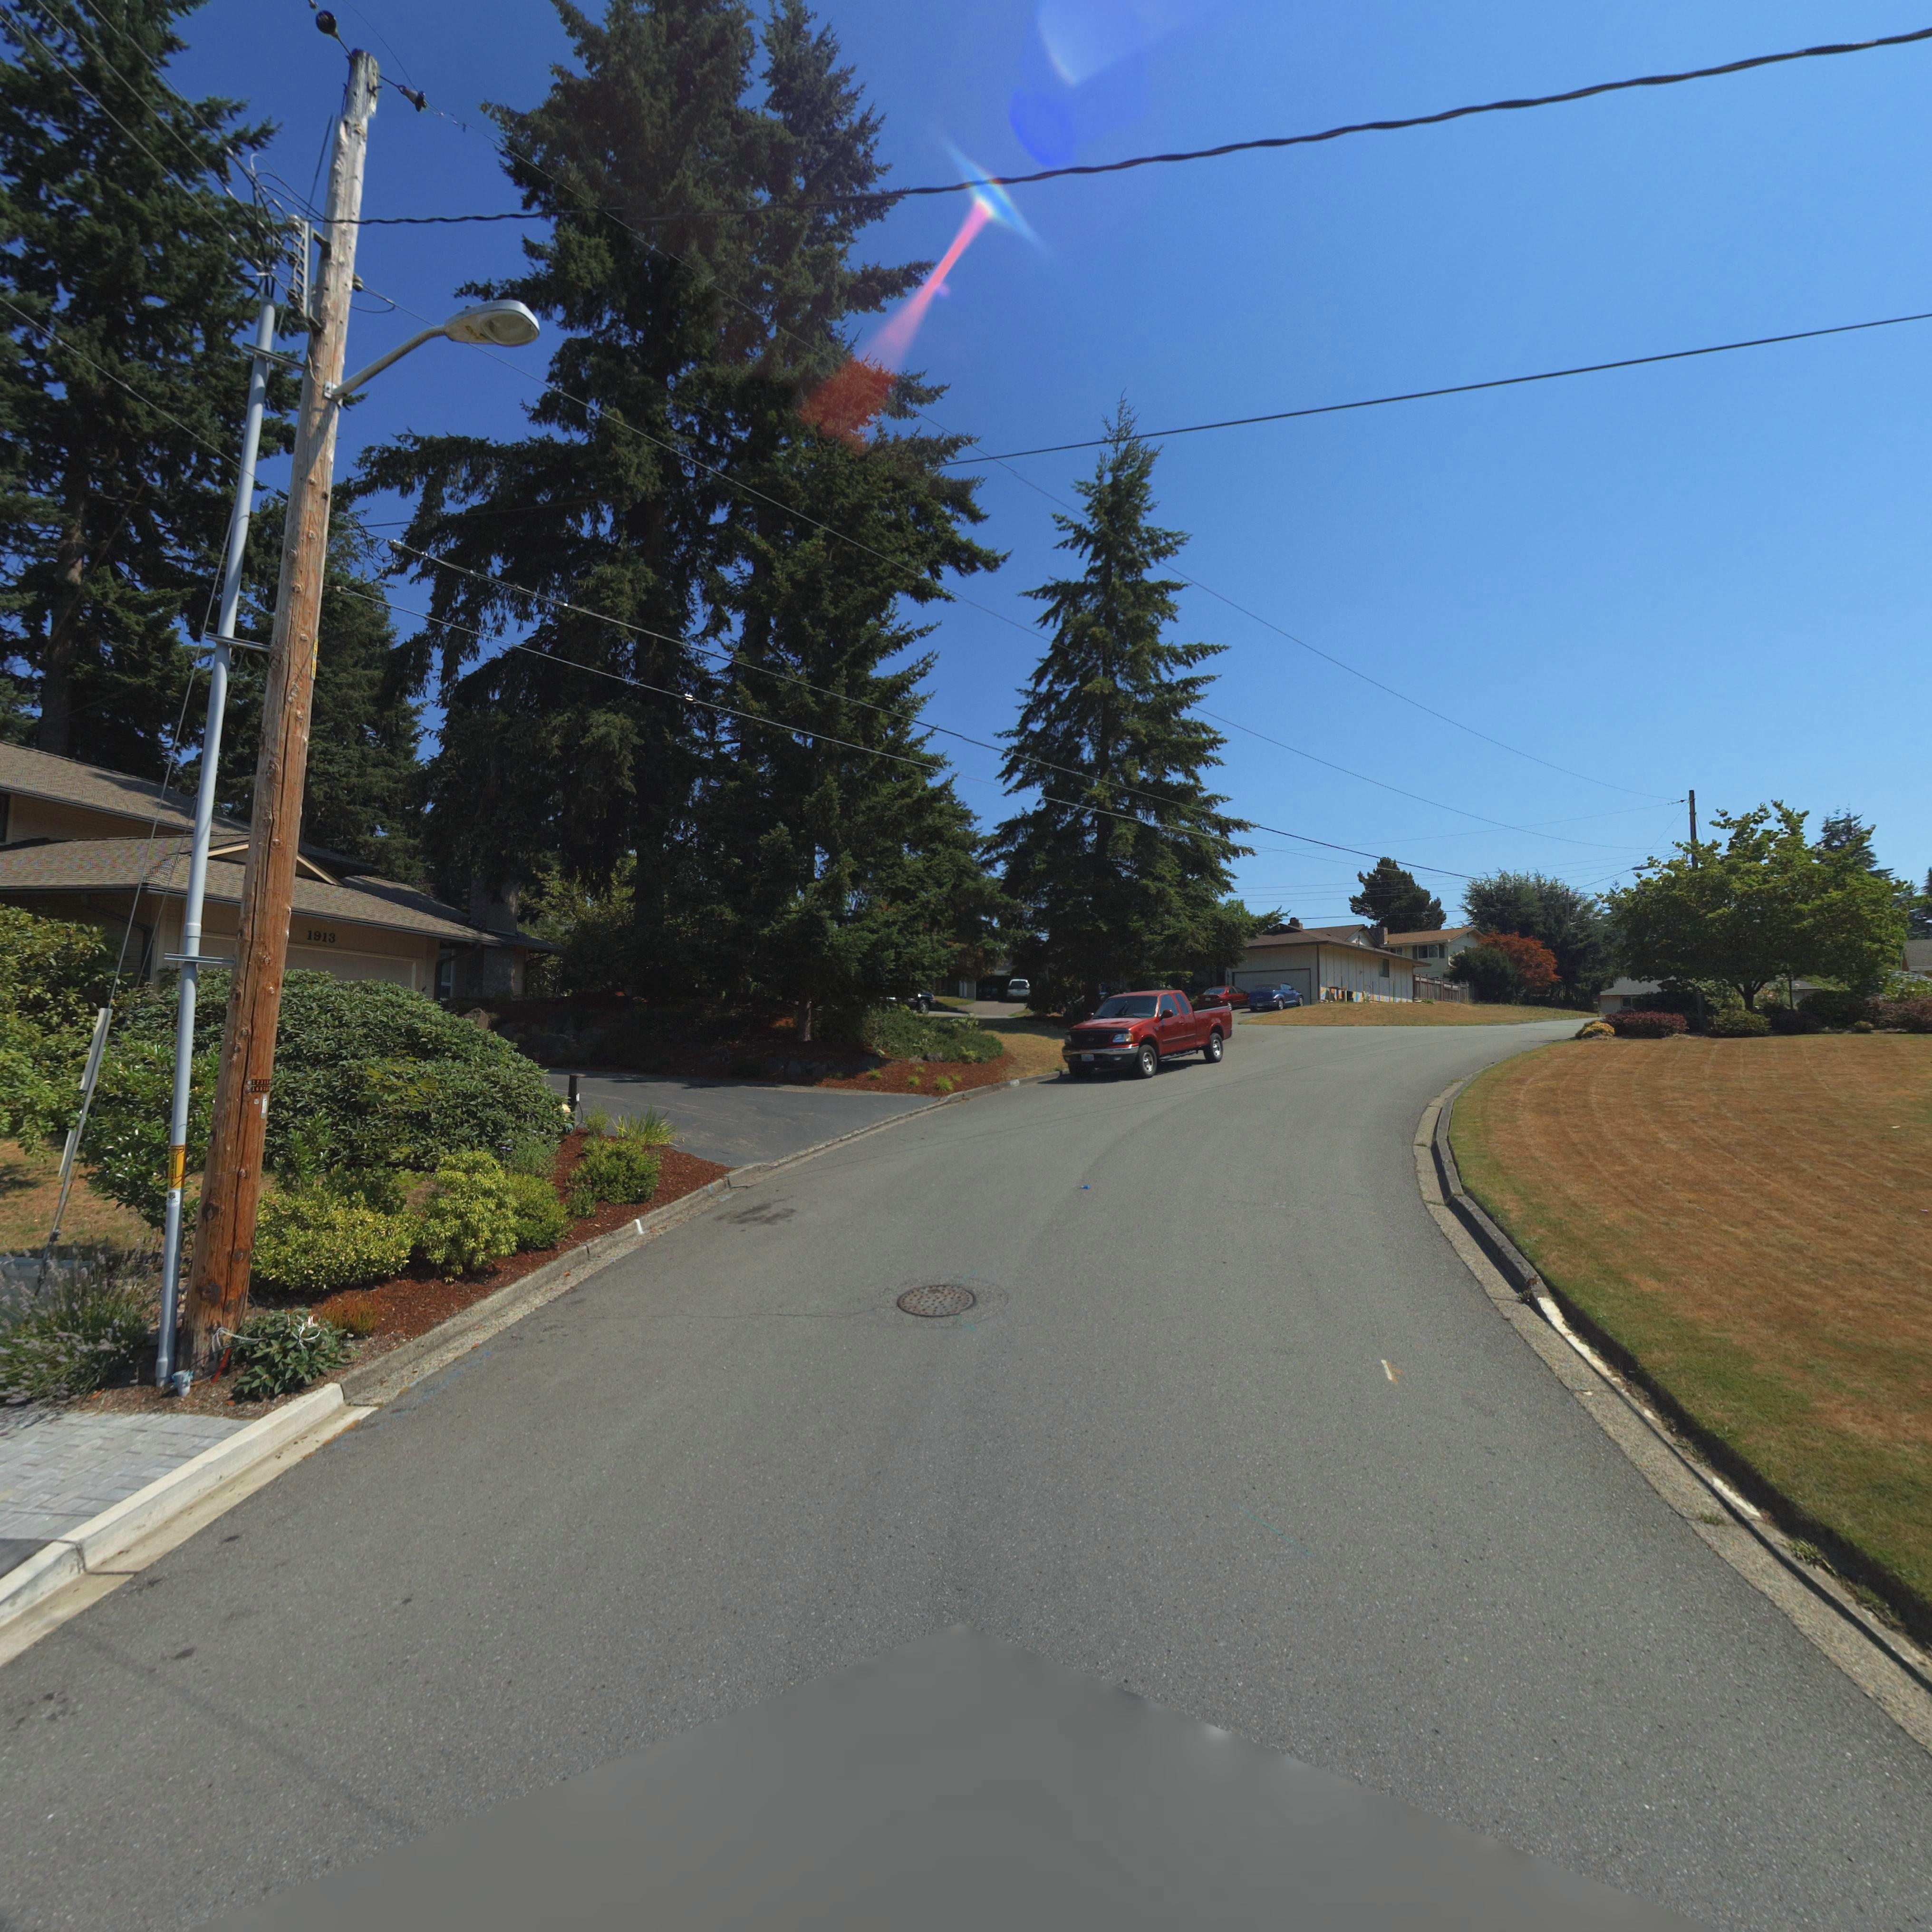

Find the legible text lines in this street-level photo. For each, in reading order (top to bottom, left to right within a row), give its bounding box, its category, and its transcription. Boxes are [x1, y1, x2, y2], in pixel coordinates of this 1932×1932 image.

[307, 928, 336, 943] StreetNumber: 1913